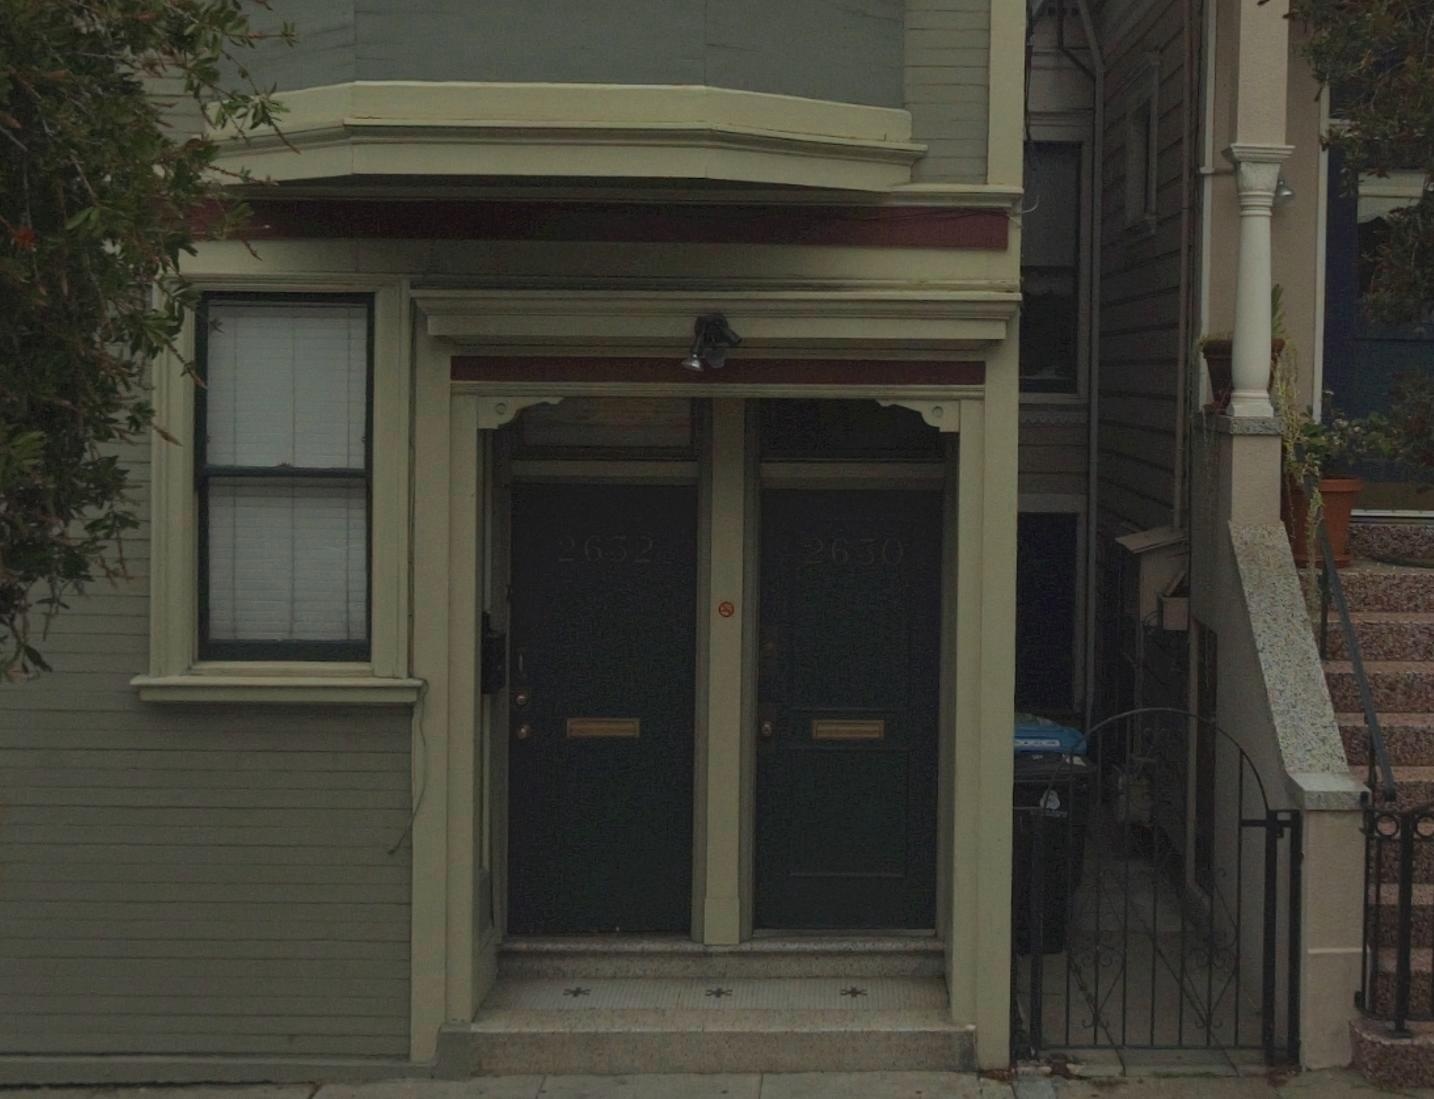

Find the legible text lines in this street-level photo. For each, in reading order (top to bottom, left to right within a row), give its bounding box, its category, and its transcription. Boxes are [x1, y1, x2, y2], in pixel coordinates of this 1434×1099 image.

[554, 531, 655, 566] StreetNumber: 2632
[802, 534, 905, 567] StreetNumber: 2630